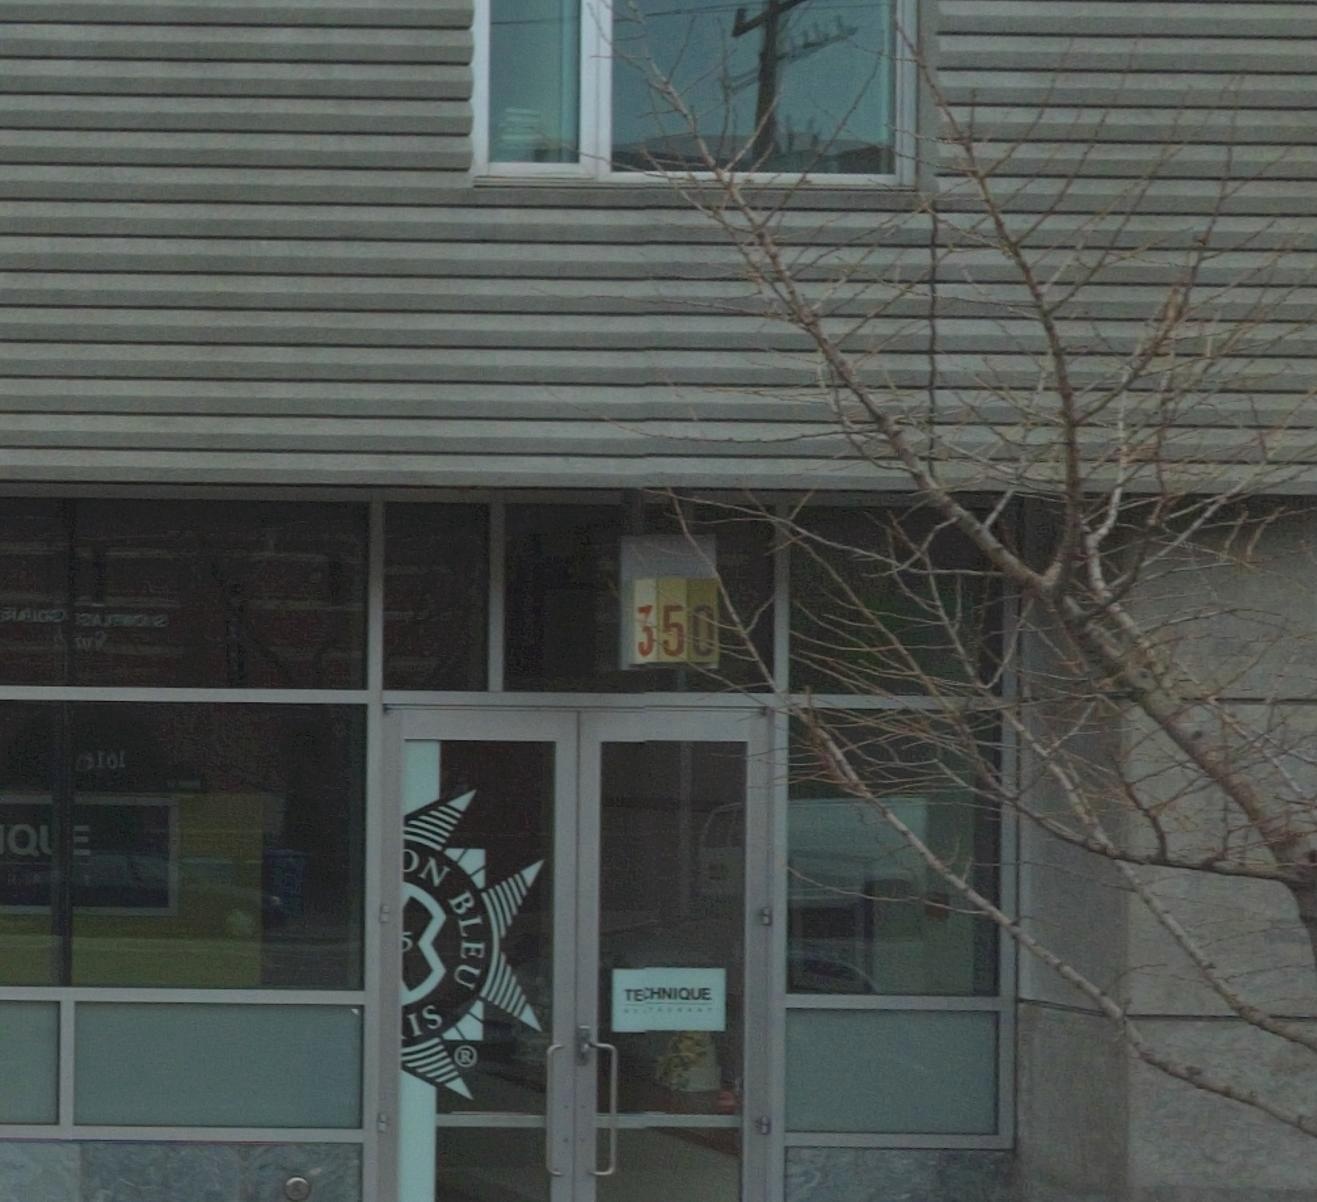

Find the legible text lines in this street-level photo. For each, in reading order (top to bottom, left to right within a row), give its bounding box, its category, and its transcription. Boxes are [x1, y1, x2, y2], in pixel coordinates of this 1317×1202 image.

[635, 602, 719, 660] StreetNumber: 350
[414, 852, 487, 995] BusinessName: N BLEU
[403, 999, 449, 1044] BusinessName: IS
[621, 986, 713, 1003] None: TE*HINIQUE